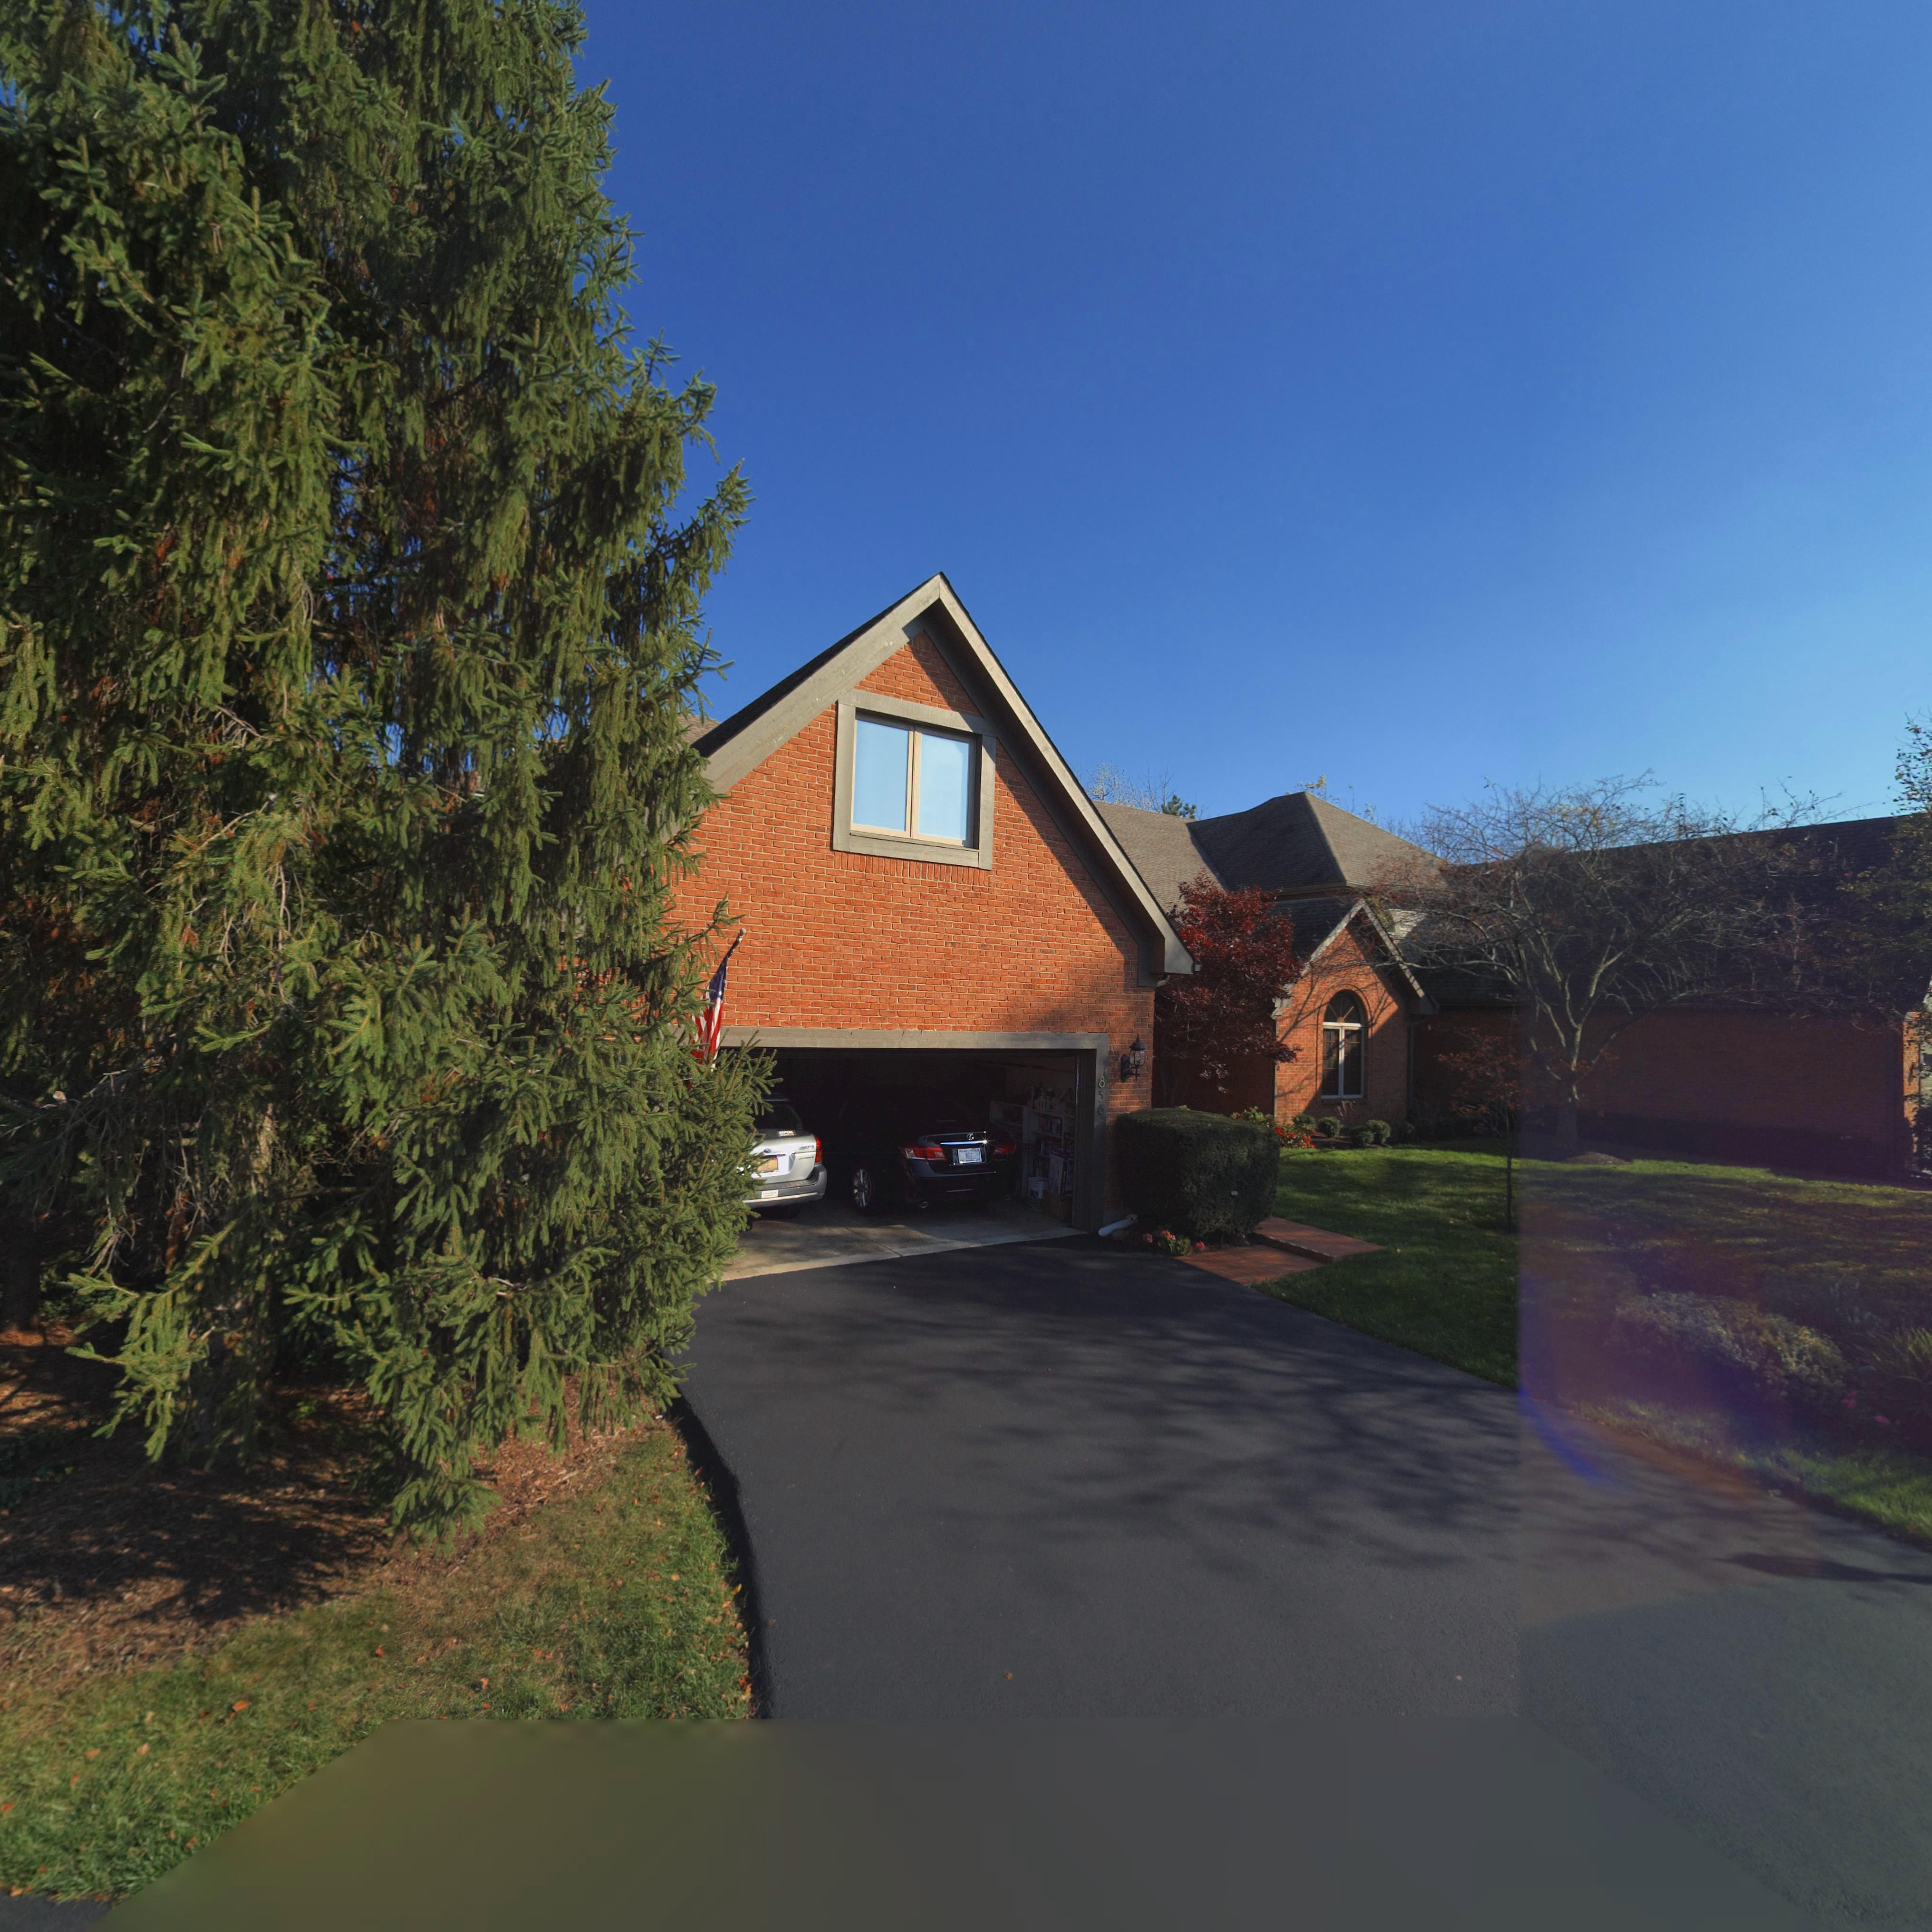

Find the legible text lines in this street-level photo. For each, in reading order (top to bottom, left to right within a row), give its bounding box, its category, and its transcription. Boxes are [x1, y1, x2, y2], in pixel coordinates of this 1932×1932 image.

[1096, 1074, 1107, 1116] StreetNumber: 856